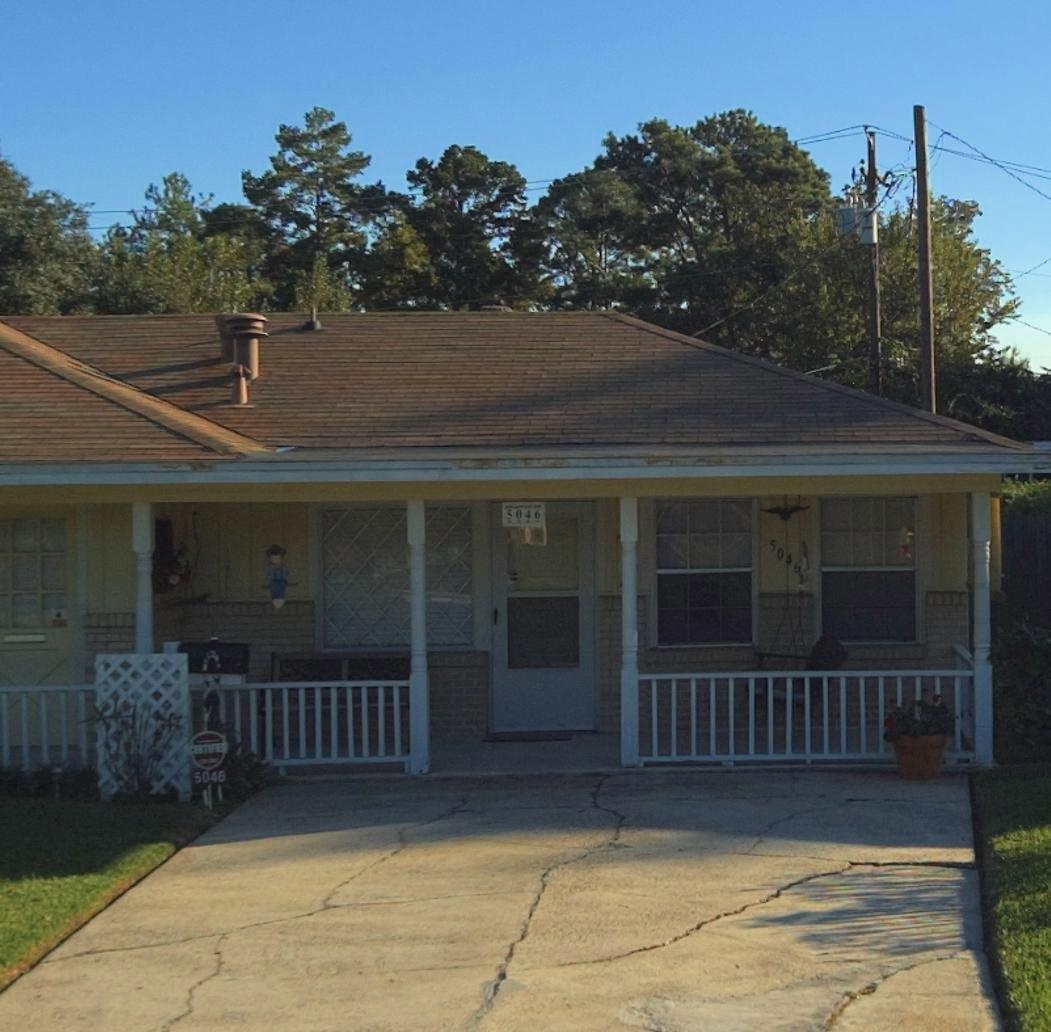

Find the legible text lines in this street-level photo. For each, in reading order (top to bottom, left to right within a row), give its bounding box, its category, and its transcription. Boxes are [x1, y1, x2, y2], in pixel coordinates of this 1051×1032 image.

[506, 508, 542, 520] StreetNumber: 5046
[768, 538, 802, 575] StreetNumber: 5046
[188, 742, 229, 755] None: CERTIFIED
[193, 769, 226, 785] StreetNumber: 5046